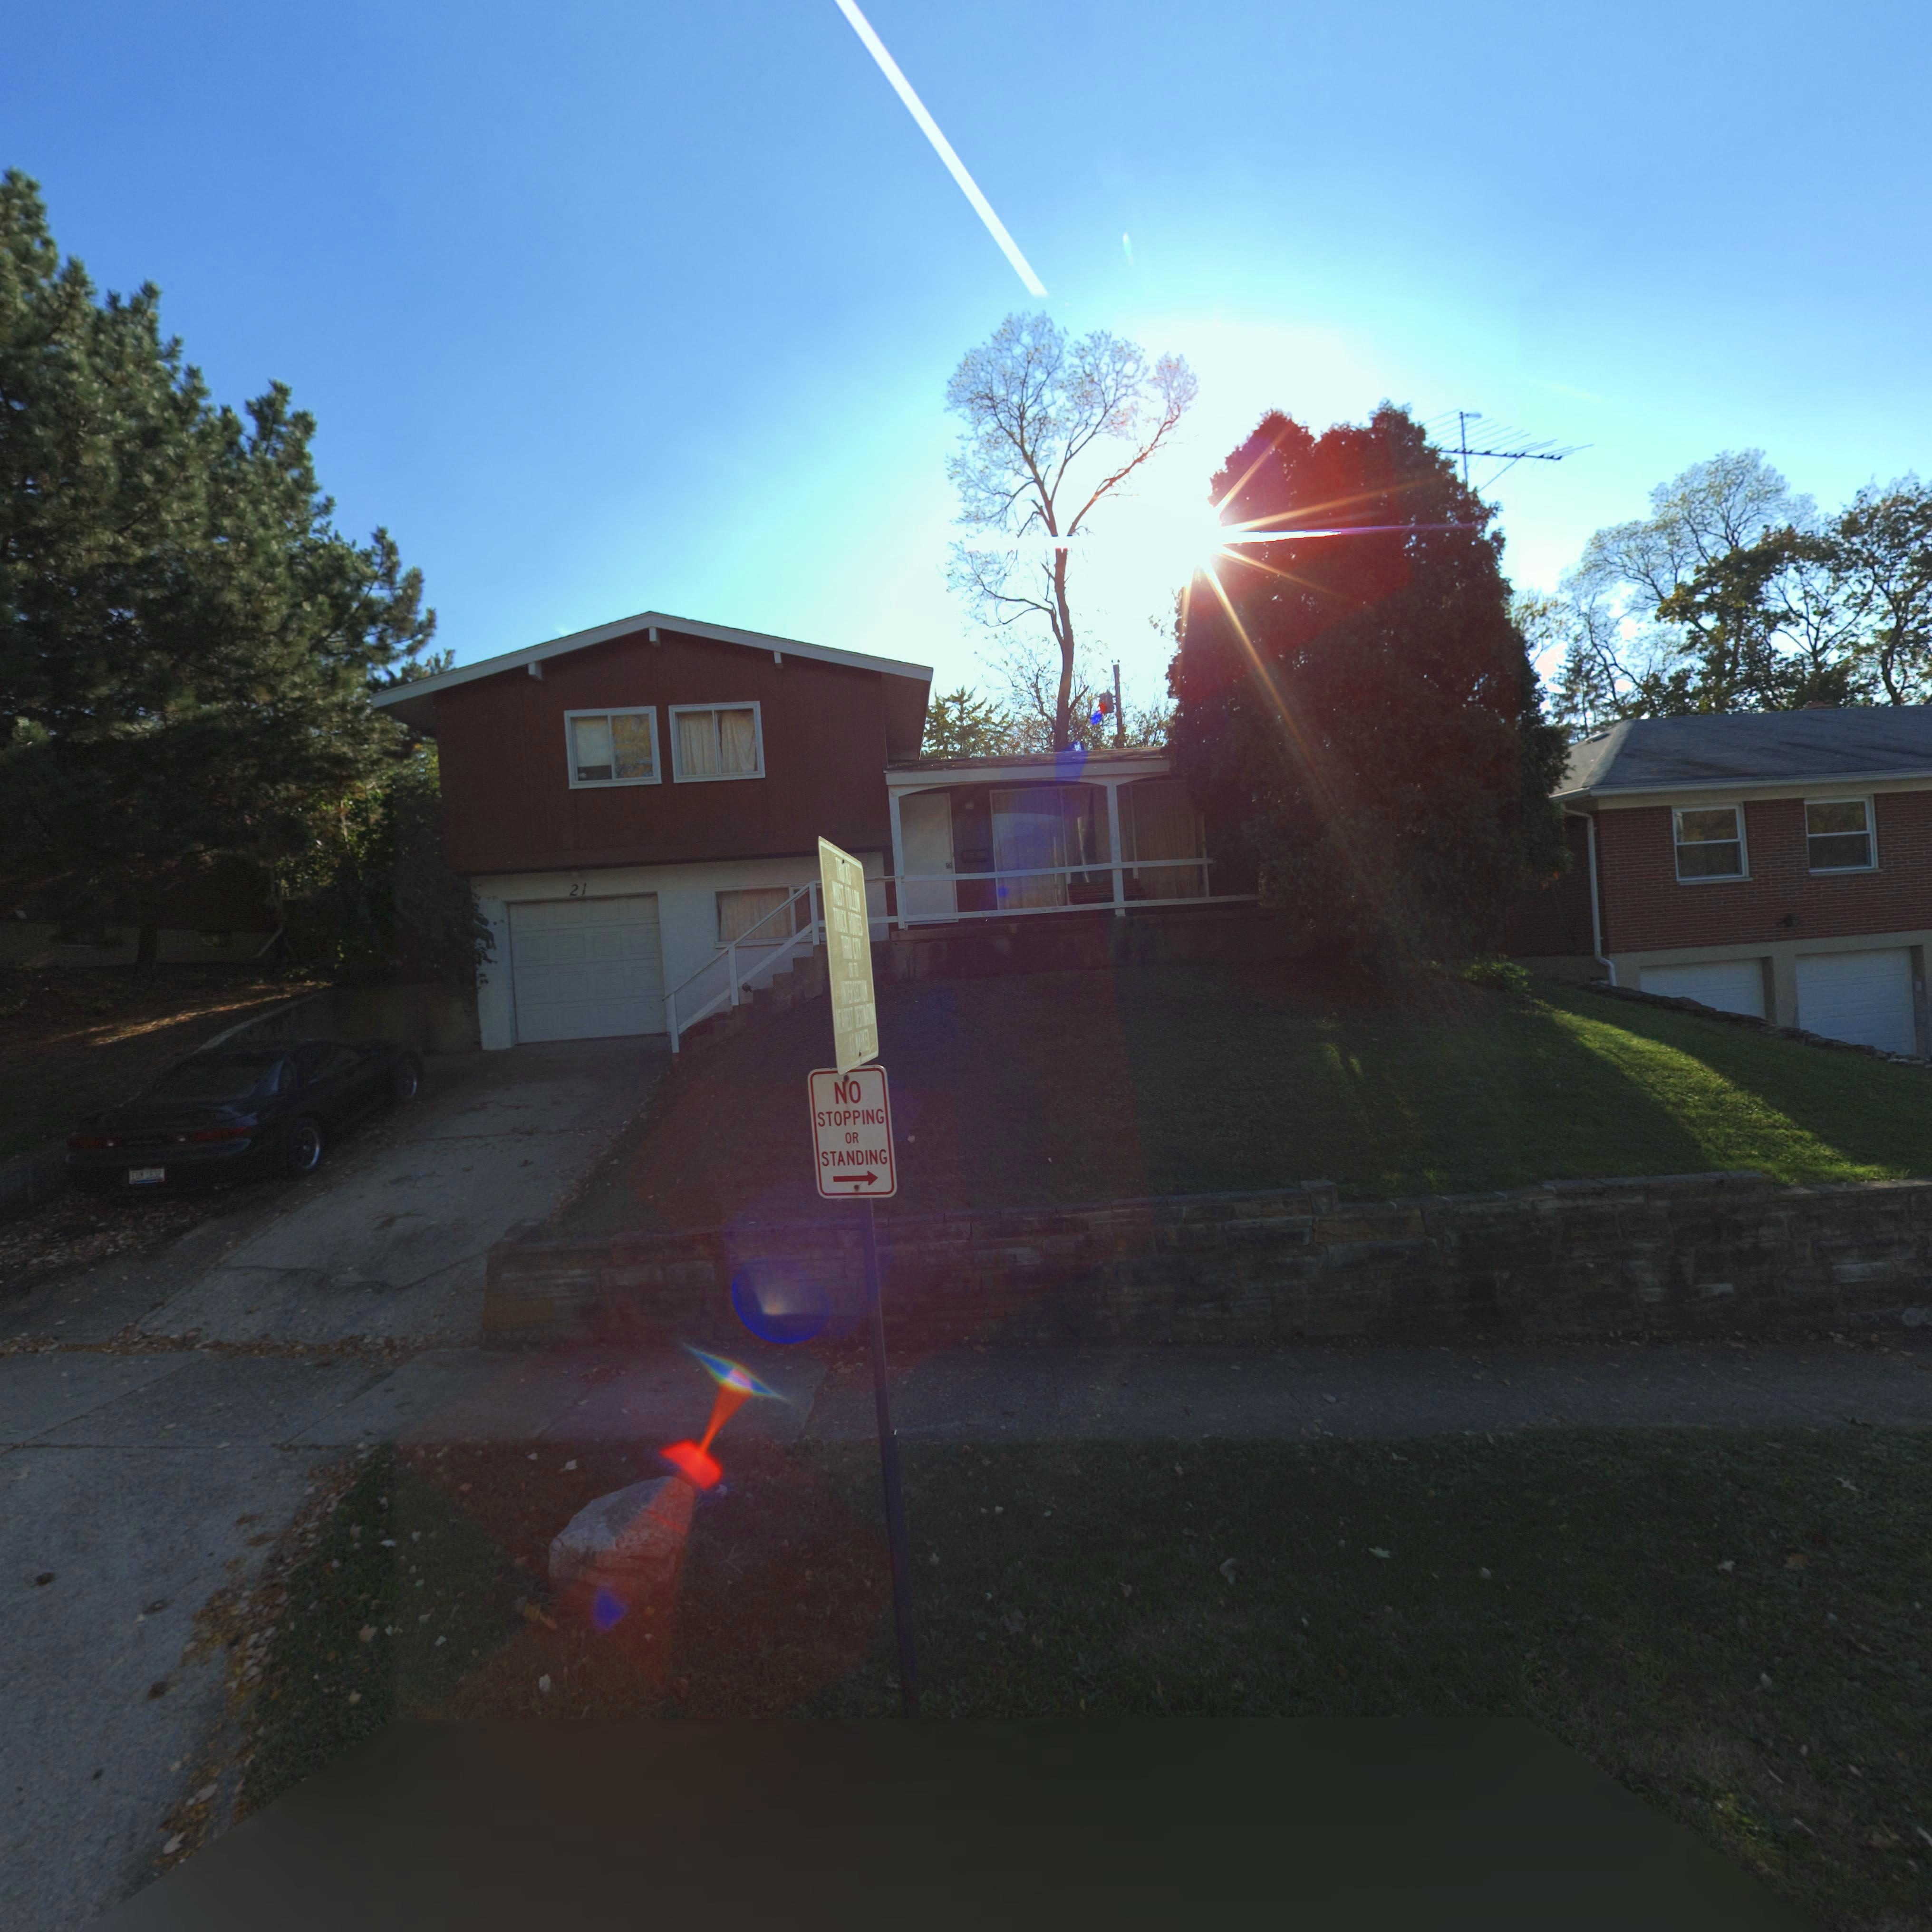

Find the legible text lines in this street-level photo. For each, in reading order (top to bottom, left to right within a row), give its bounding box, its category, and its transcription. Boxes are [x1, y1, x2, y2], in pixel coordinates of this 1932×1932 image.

[568, 882, 588, 897] StreetNumber: 21